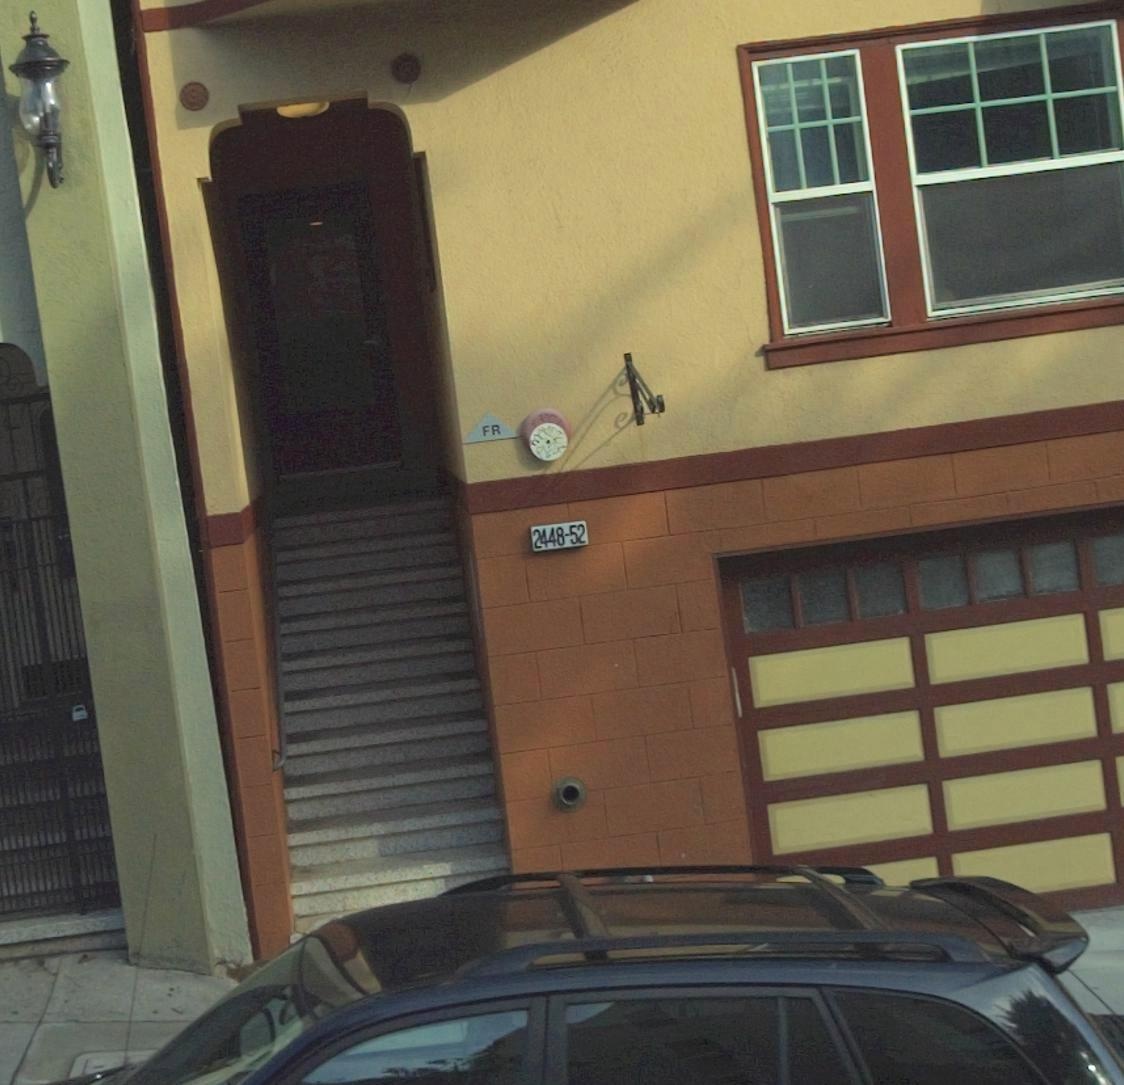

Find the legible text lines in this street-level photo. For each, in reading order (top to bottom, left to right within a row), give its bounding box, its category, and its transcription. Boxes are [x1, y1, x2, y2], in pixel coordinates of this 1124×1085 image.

[479, 421, 504, 439] None: FR
[530, 519, 591, 554] StreetNumber: 2448-52